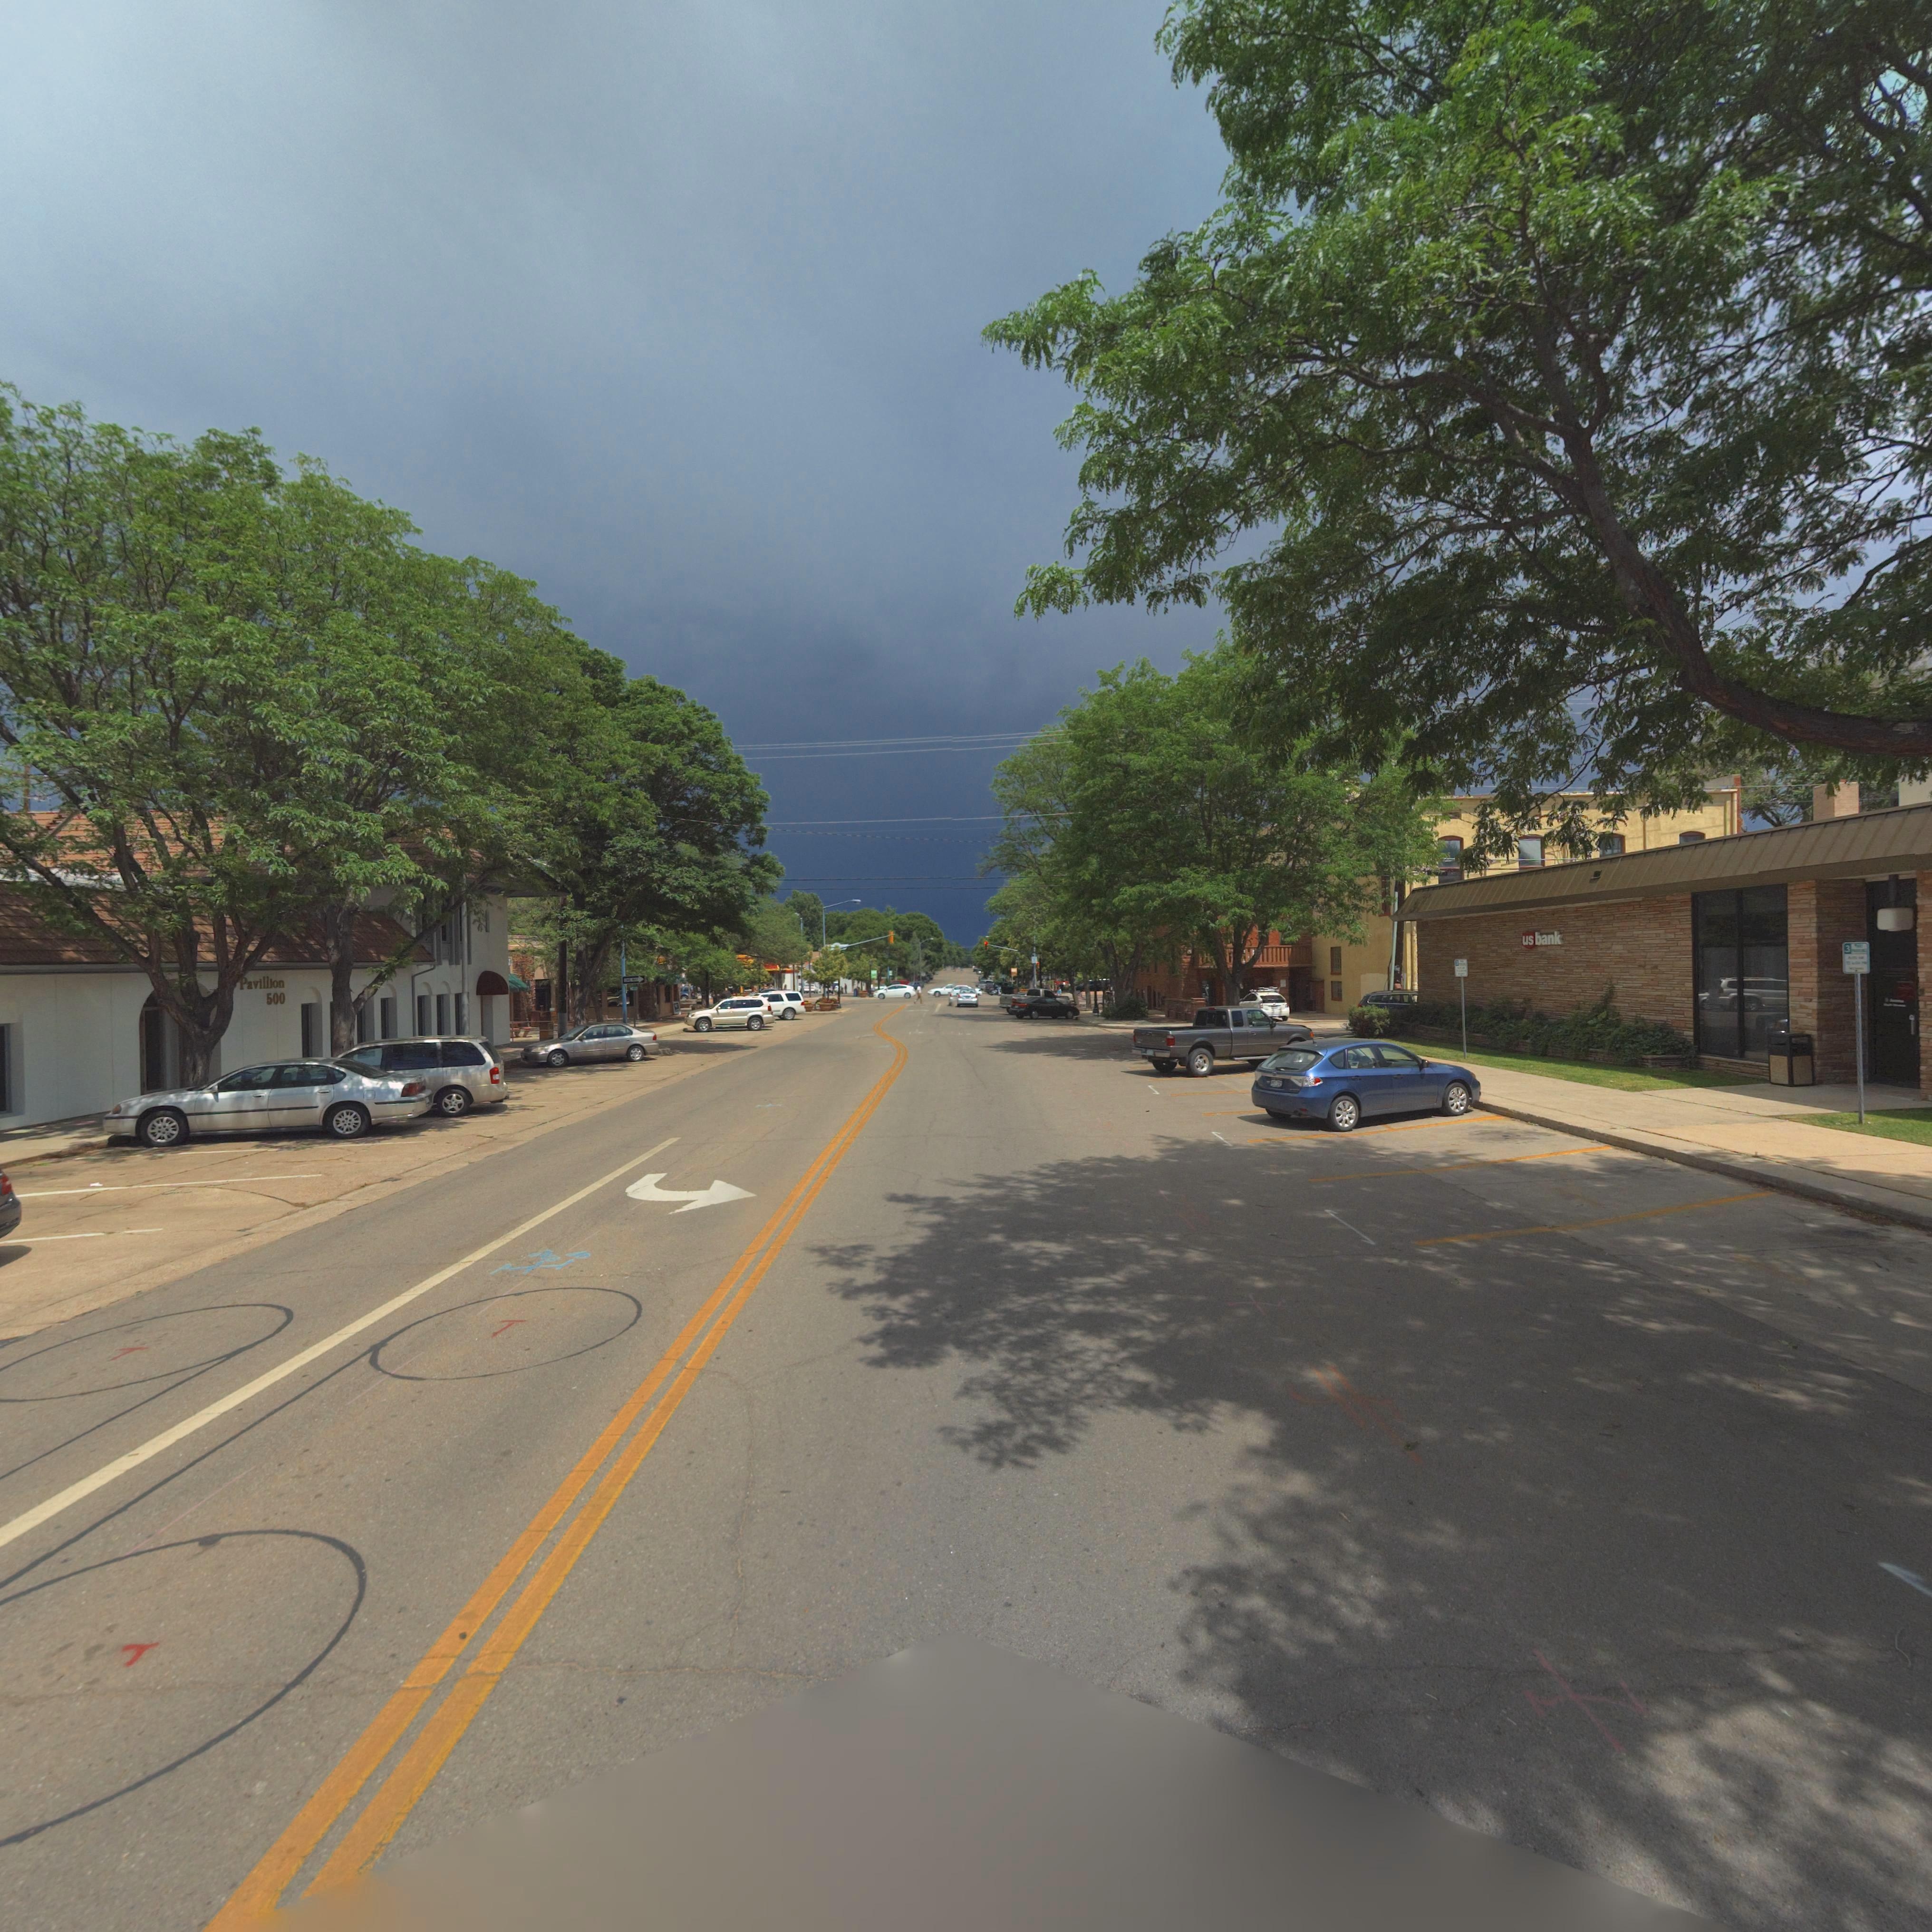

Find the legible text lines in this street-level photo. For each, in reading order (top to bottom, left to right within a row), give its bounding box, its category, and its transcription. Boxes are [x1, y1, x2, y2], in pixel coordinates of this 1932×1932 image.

[1522, 930, 1562, 945] BusinessName: usbank
[265, 992, 285, 1005] StreetNumber: 500